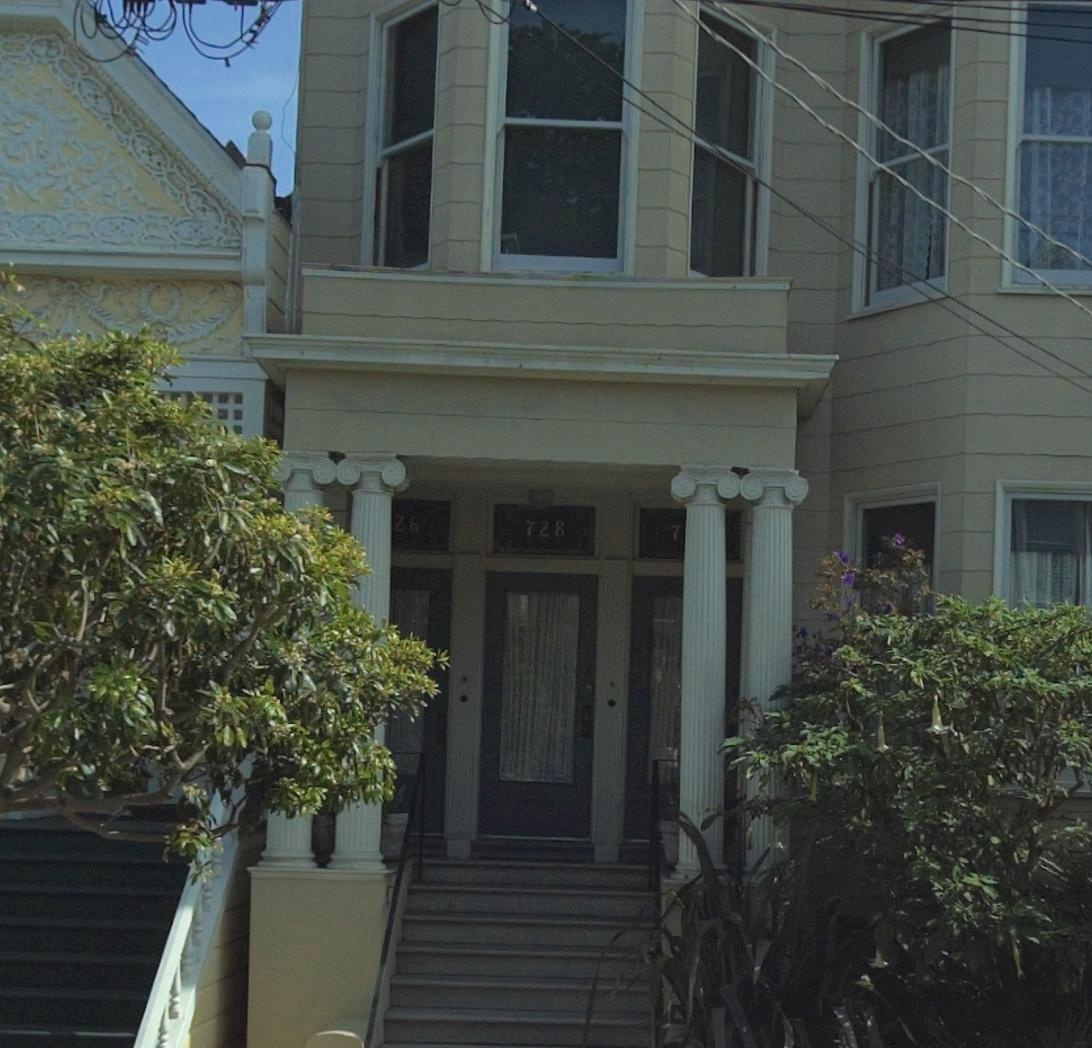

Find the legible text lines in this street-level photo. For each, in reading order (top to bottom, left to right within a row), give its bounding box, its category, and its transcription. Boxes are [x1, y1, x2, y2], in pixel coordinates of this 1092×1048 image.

[393, 512, 422, 535] StreetNumber: 26
[522, 517, 567, 539] StreetNumber: 728
[667, 522, 684, 544] StreetNumber: 7